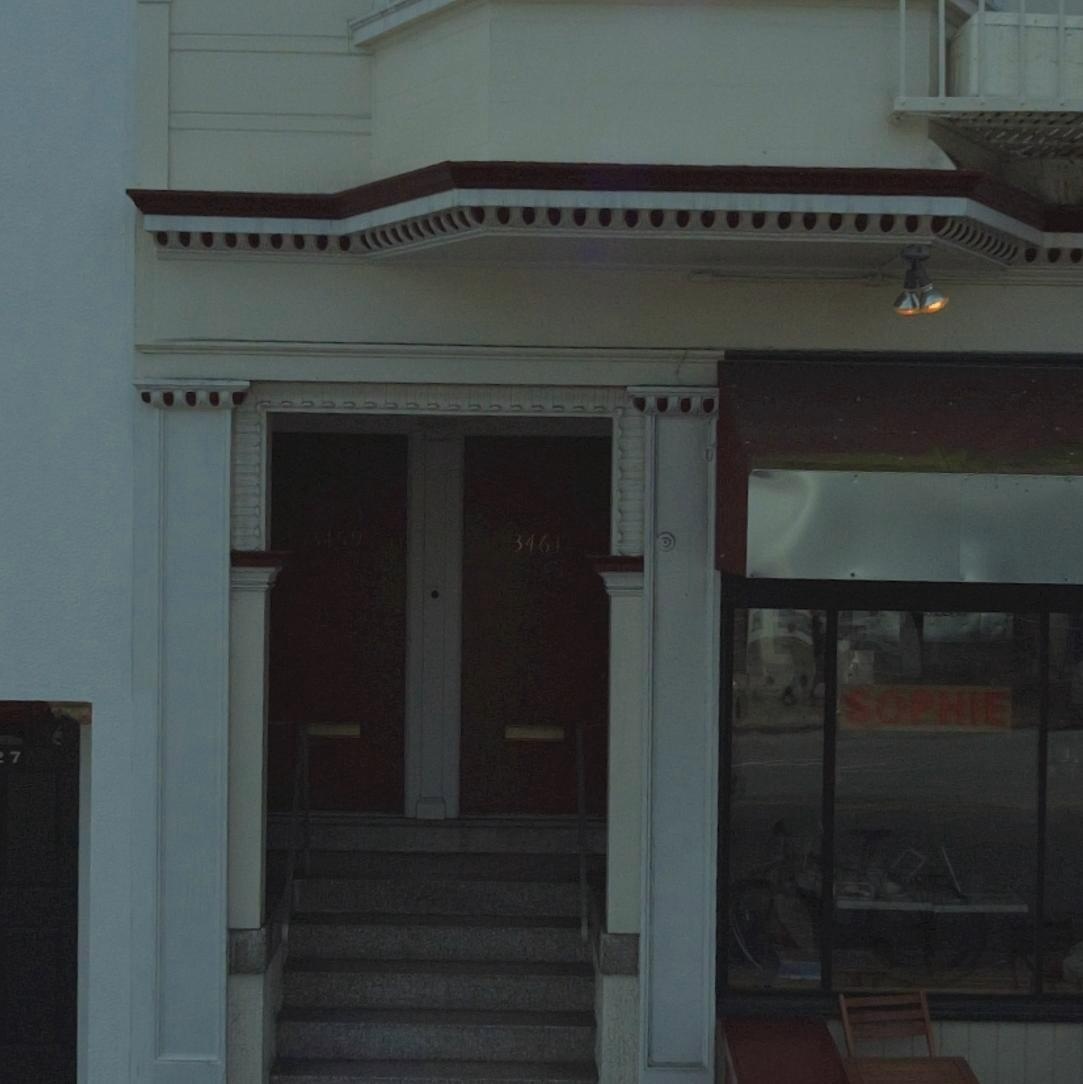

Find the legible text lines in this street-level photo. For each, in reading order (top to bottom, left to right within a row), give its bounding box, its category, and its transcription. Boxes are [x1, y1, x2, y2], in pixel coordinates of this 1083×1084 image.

[306, 527, 364, 550] StreetNumber: 3459
[510, 531, 562, 554] StreetNumber: 3461
[838, 688, 1010, 727] BusinessName: SOPHIE